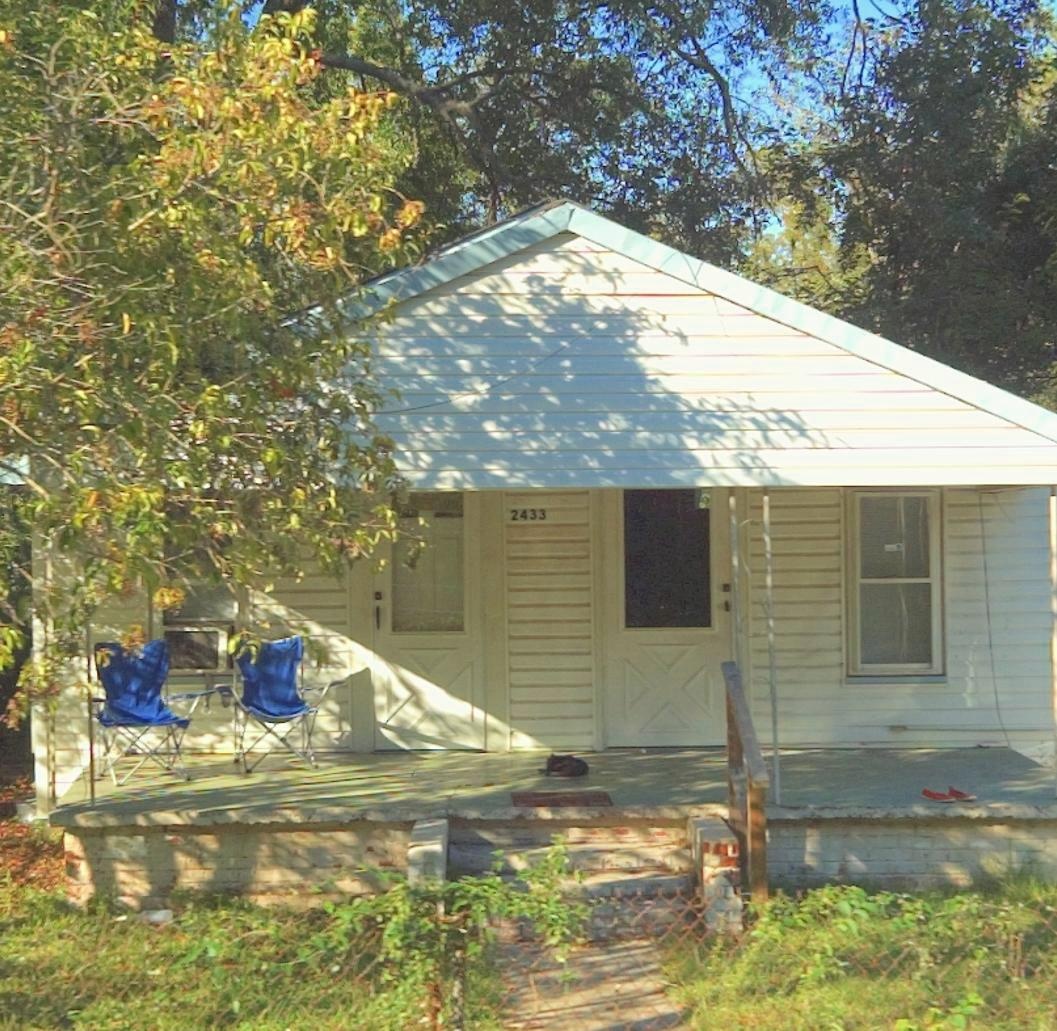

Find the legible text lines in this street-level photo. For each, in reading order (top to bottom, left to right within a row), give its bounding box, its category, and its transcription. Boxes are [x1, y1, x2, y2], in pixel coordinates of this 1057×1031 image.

[509, 507, 547, 522] StreetNumber: 2433